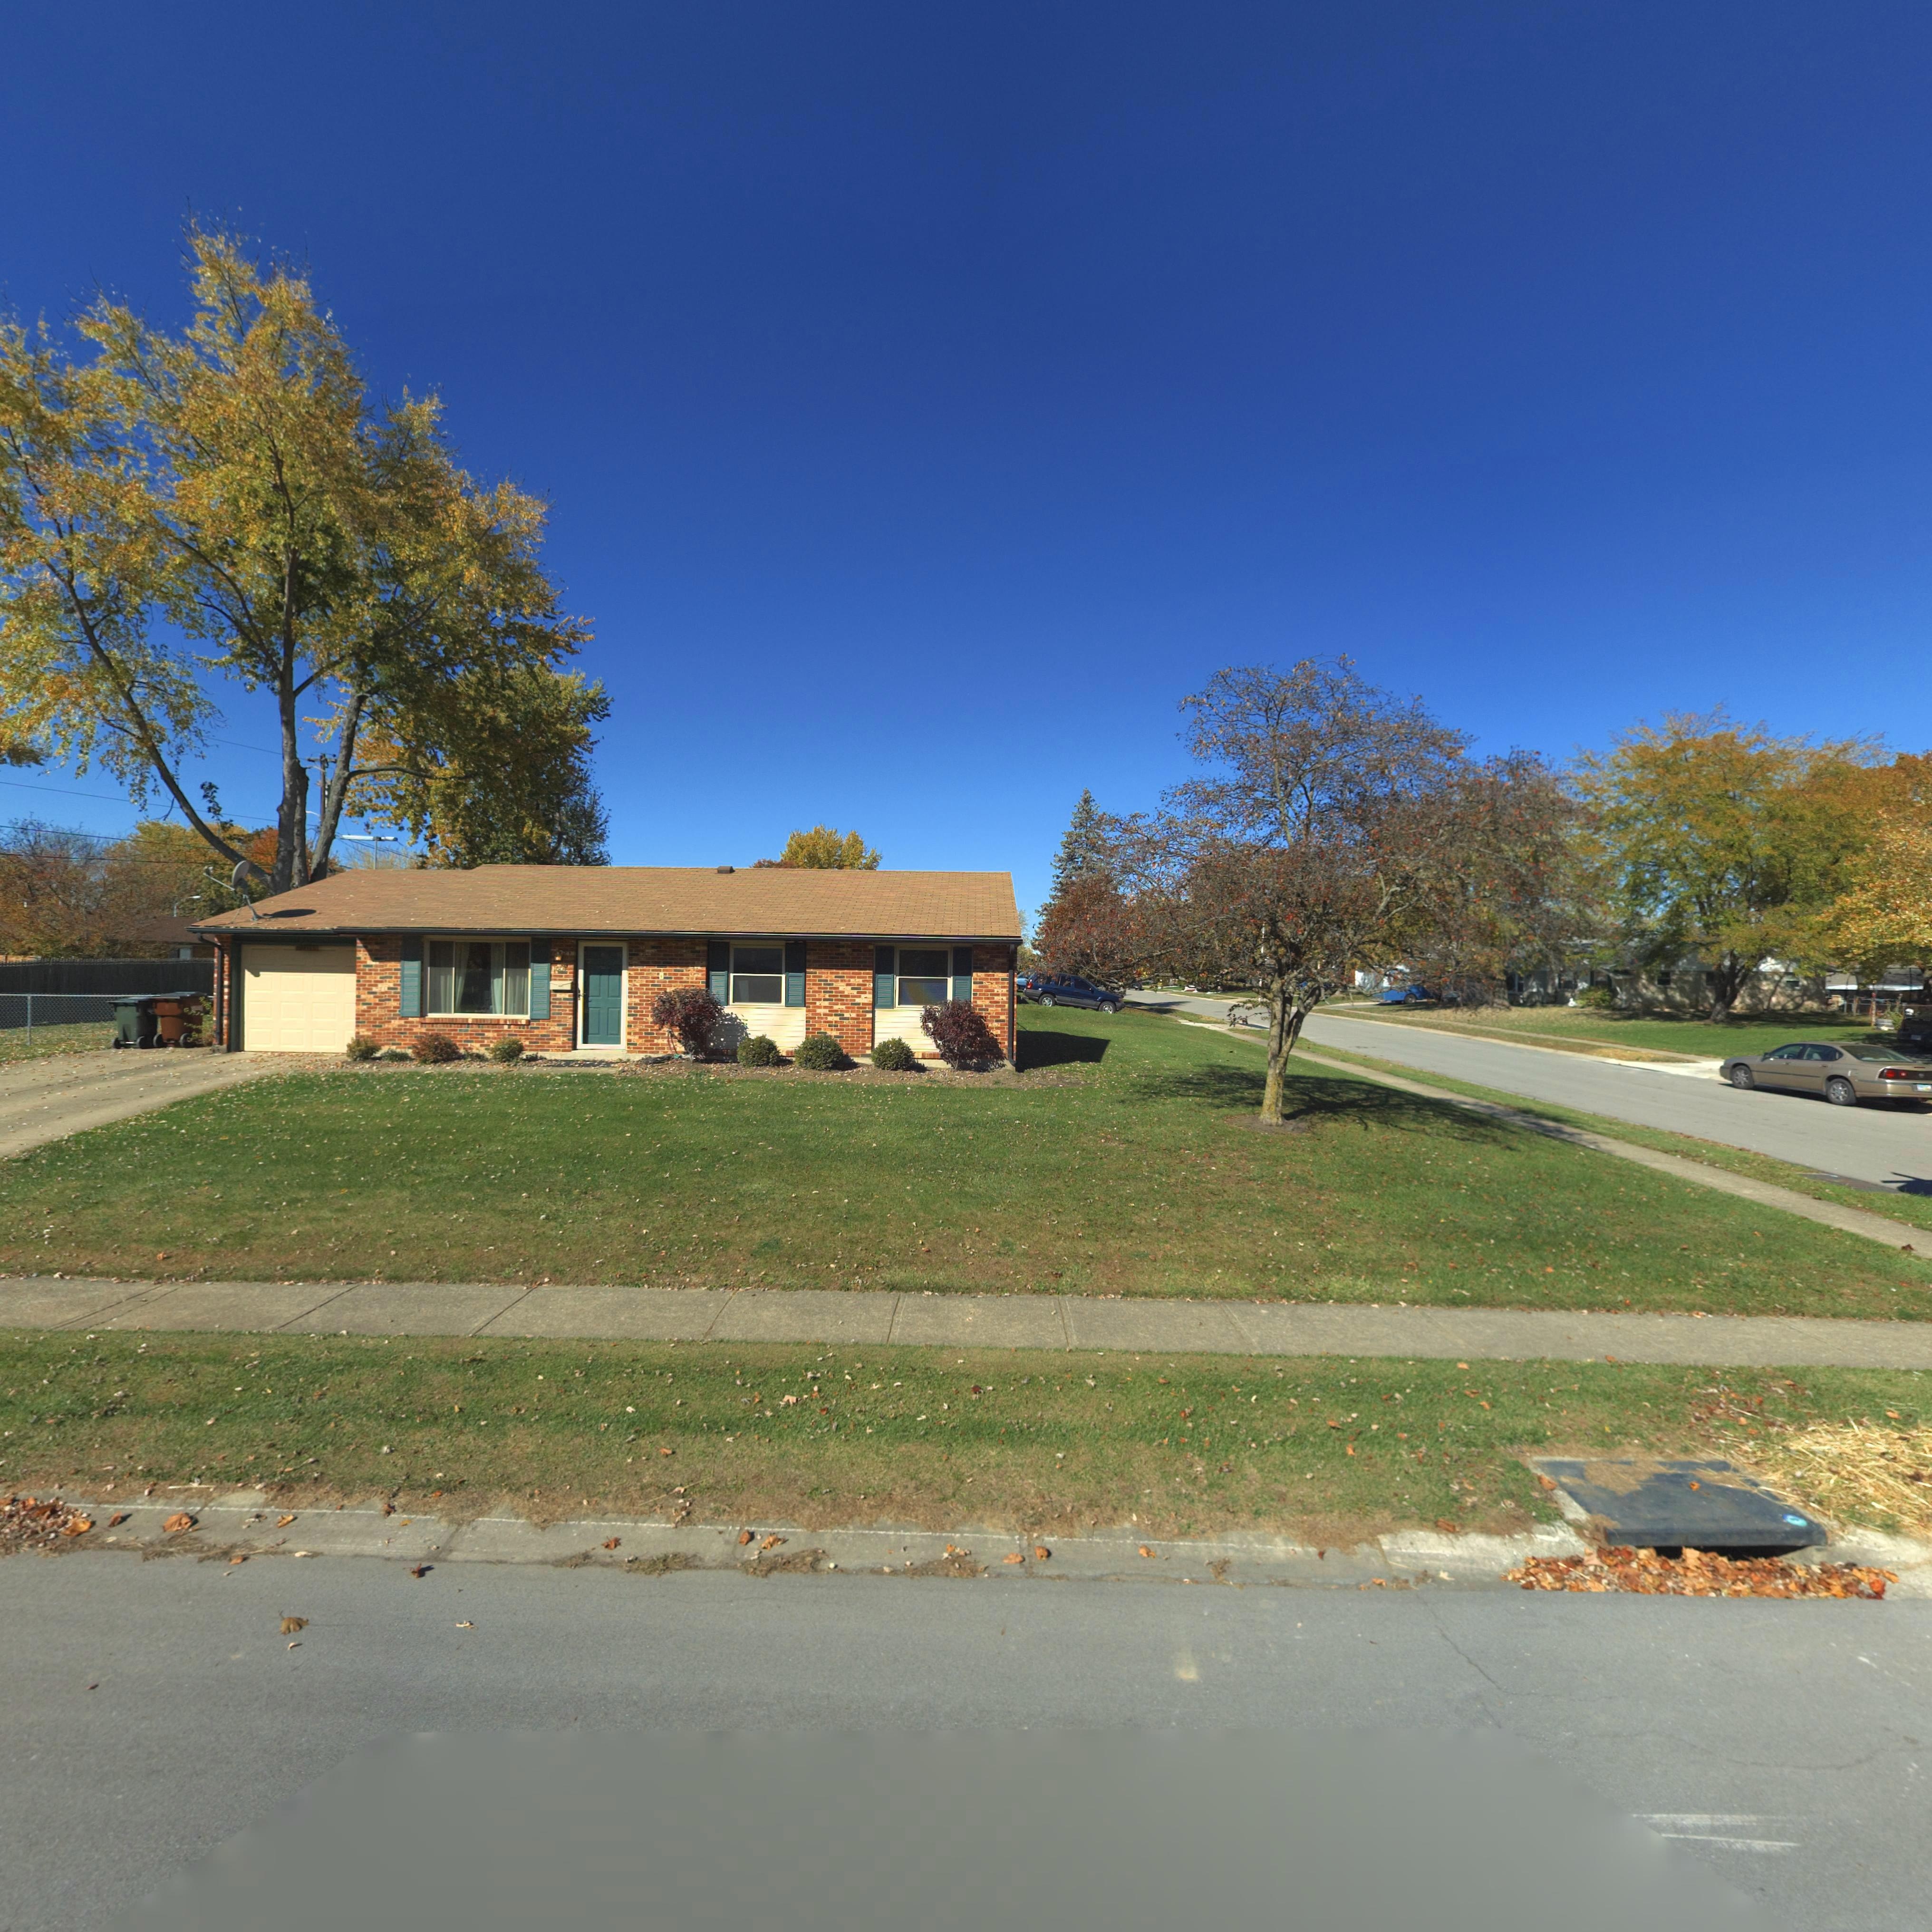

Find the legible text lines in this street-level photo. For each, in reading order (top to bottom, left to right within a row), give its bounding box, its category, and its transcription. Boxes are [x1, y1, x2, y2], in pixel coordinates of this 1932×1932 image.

[553, 966, 564, 972] StreetNumber: 100